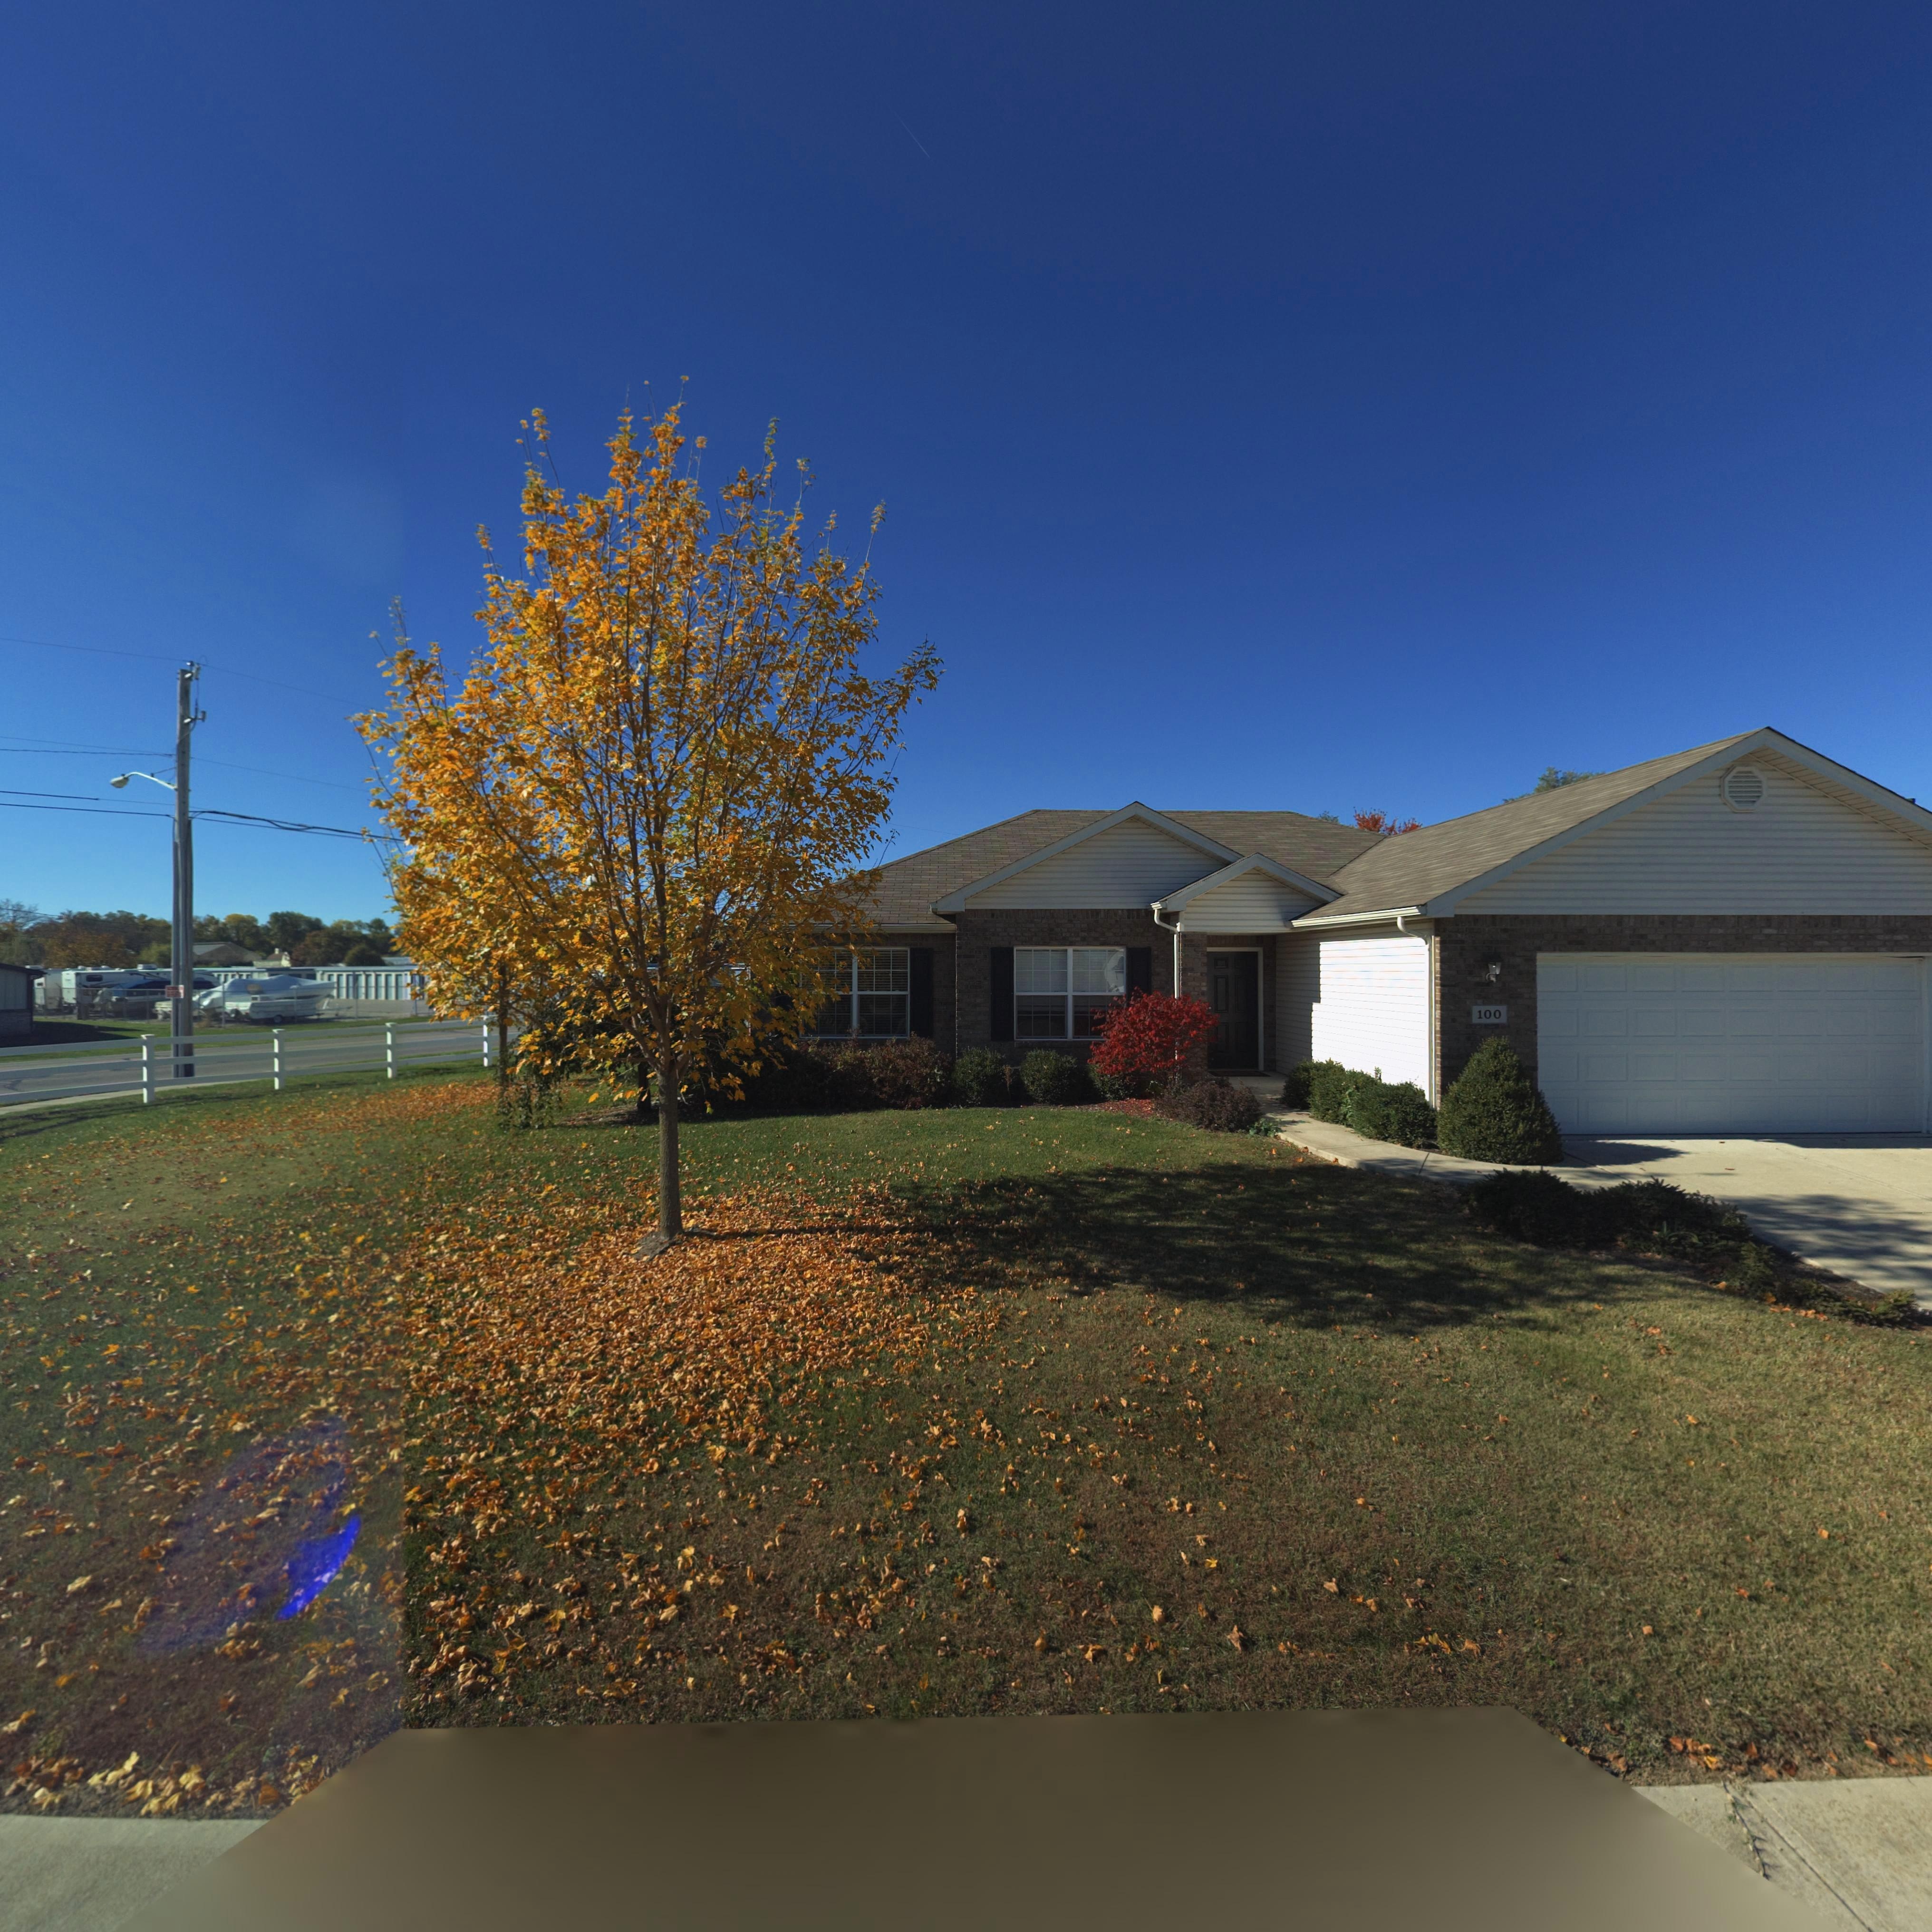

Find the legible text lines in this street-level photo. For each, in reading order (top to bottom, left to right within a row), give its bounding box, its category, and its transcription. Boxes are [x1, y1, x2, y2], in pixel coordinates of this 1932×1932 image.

[1477, 1009, 1502, 1020] StreetNumber: 100